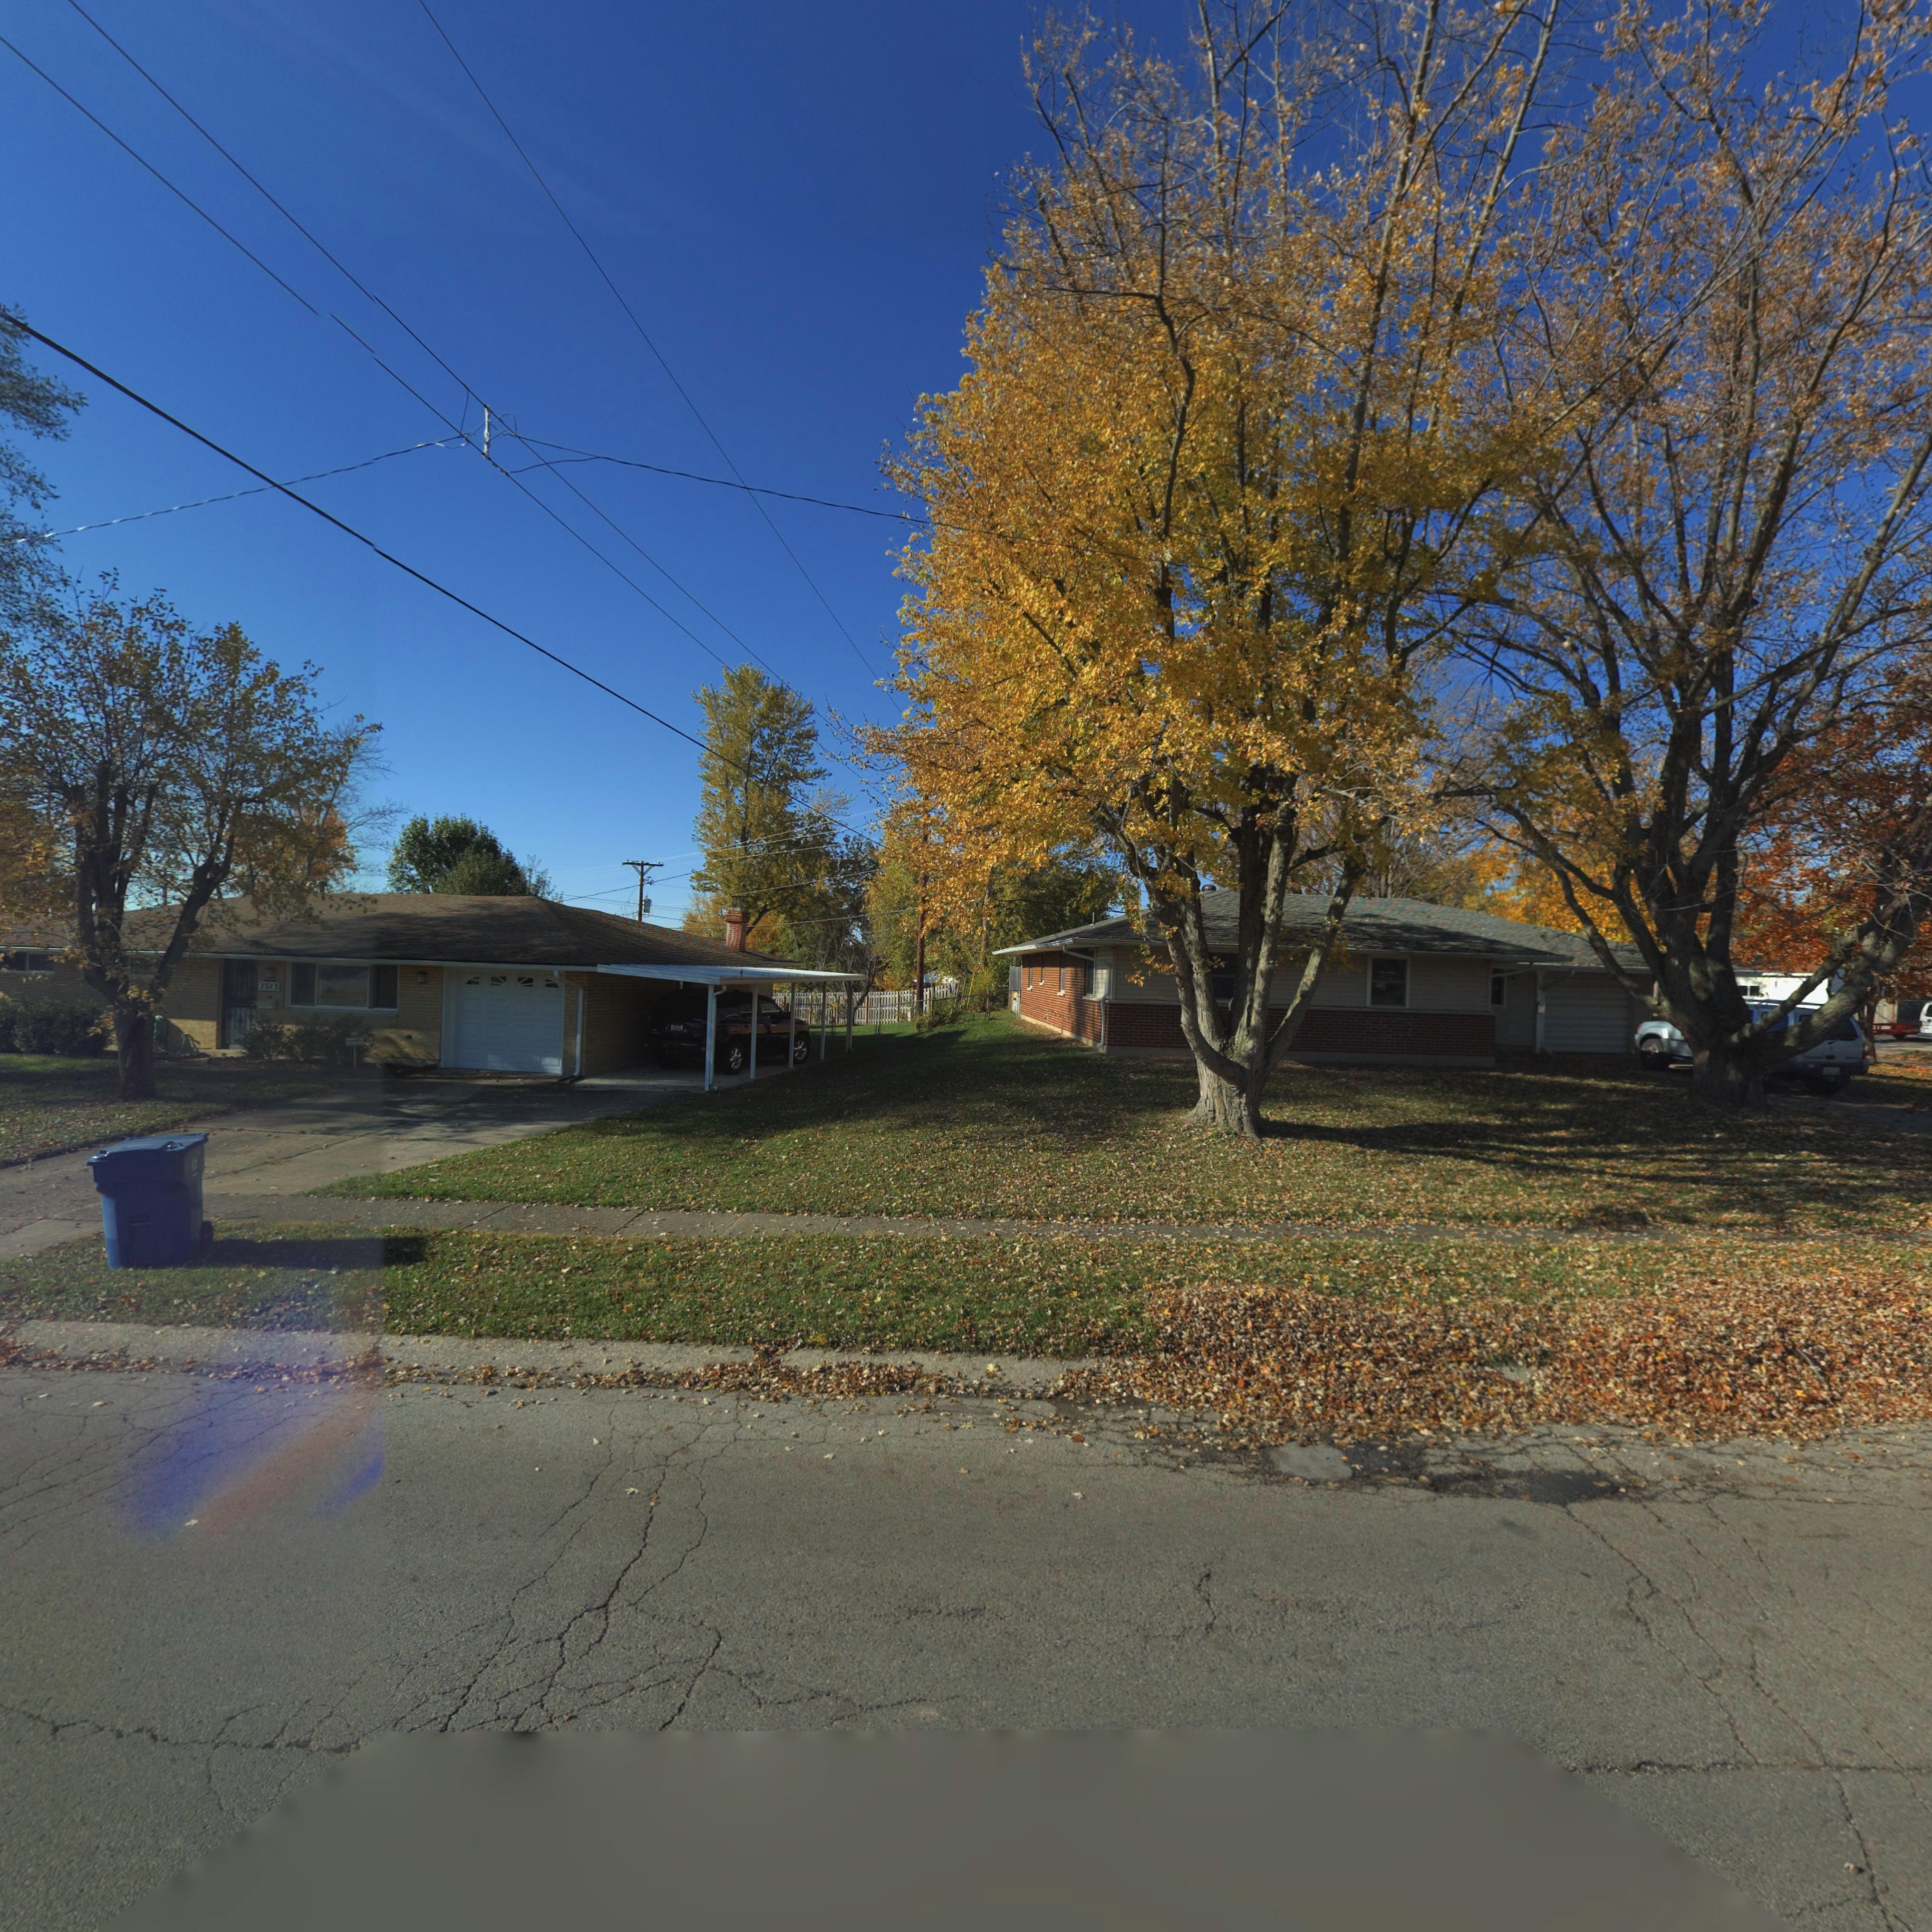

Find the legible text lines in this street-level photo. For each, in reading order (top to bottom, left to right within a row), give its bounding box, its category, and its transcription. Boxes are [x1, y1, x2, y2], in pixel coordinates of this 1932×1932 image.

[260, 982, 279, 991] StreetNumber: 7513